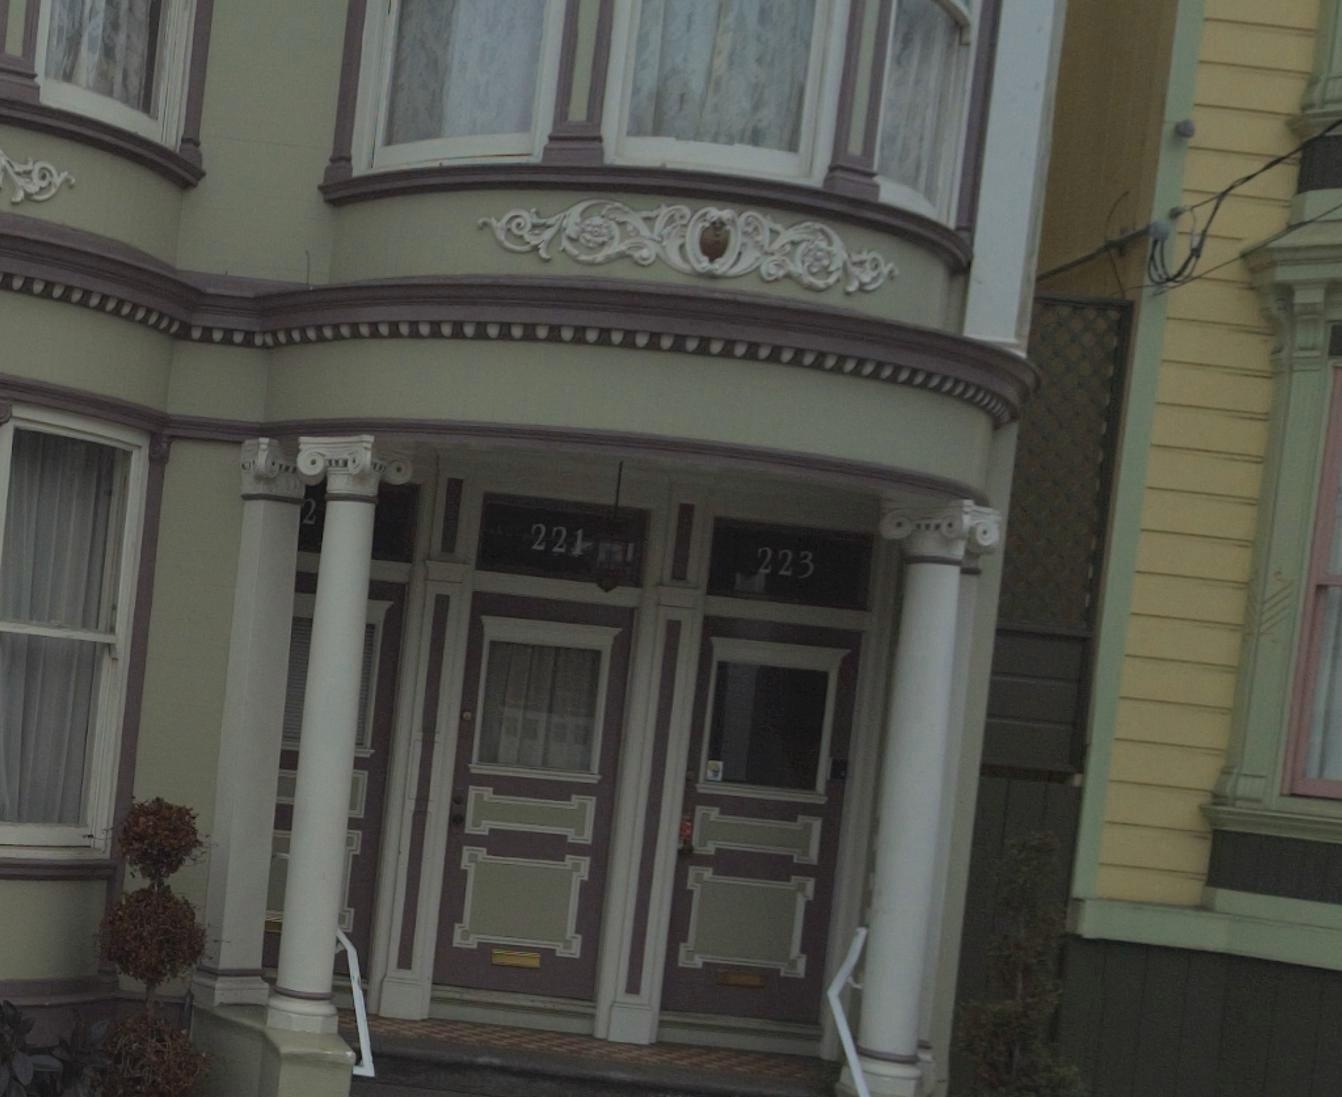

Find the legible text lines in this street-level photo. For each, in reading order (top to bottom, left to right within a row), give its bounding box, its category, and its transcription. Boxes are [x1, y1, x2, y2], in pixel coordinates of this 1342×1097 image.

[301, 496, 318, 526] StreetNumber: 2
[528, 520, 586, 557] StreetNumber: 221
[756, 546, 817, 580] StreetNumber: 223